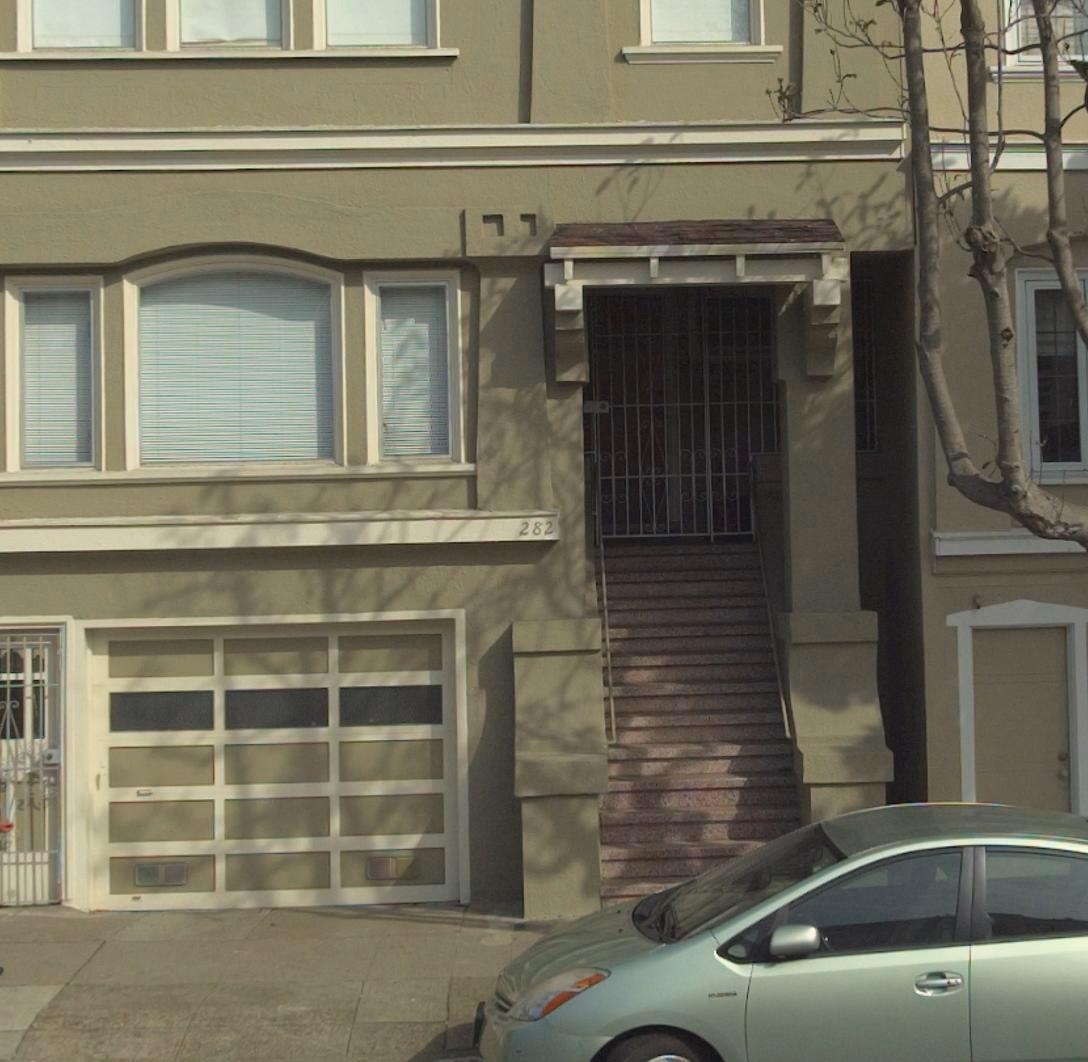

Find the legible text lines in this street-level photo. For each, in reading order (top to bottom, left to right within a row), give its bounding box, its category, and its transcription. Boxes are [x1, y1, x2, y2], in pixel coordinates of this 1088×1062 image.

[518, 519, 554, 537] StreetNumber: 282